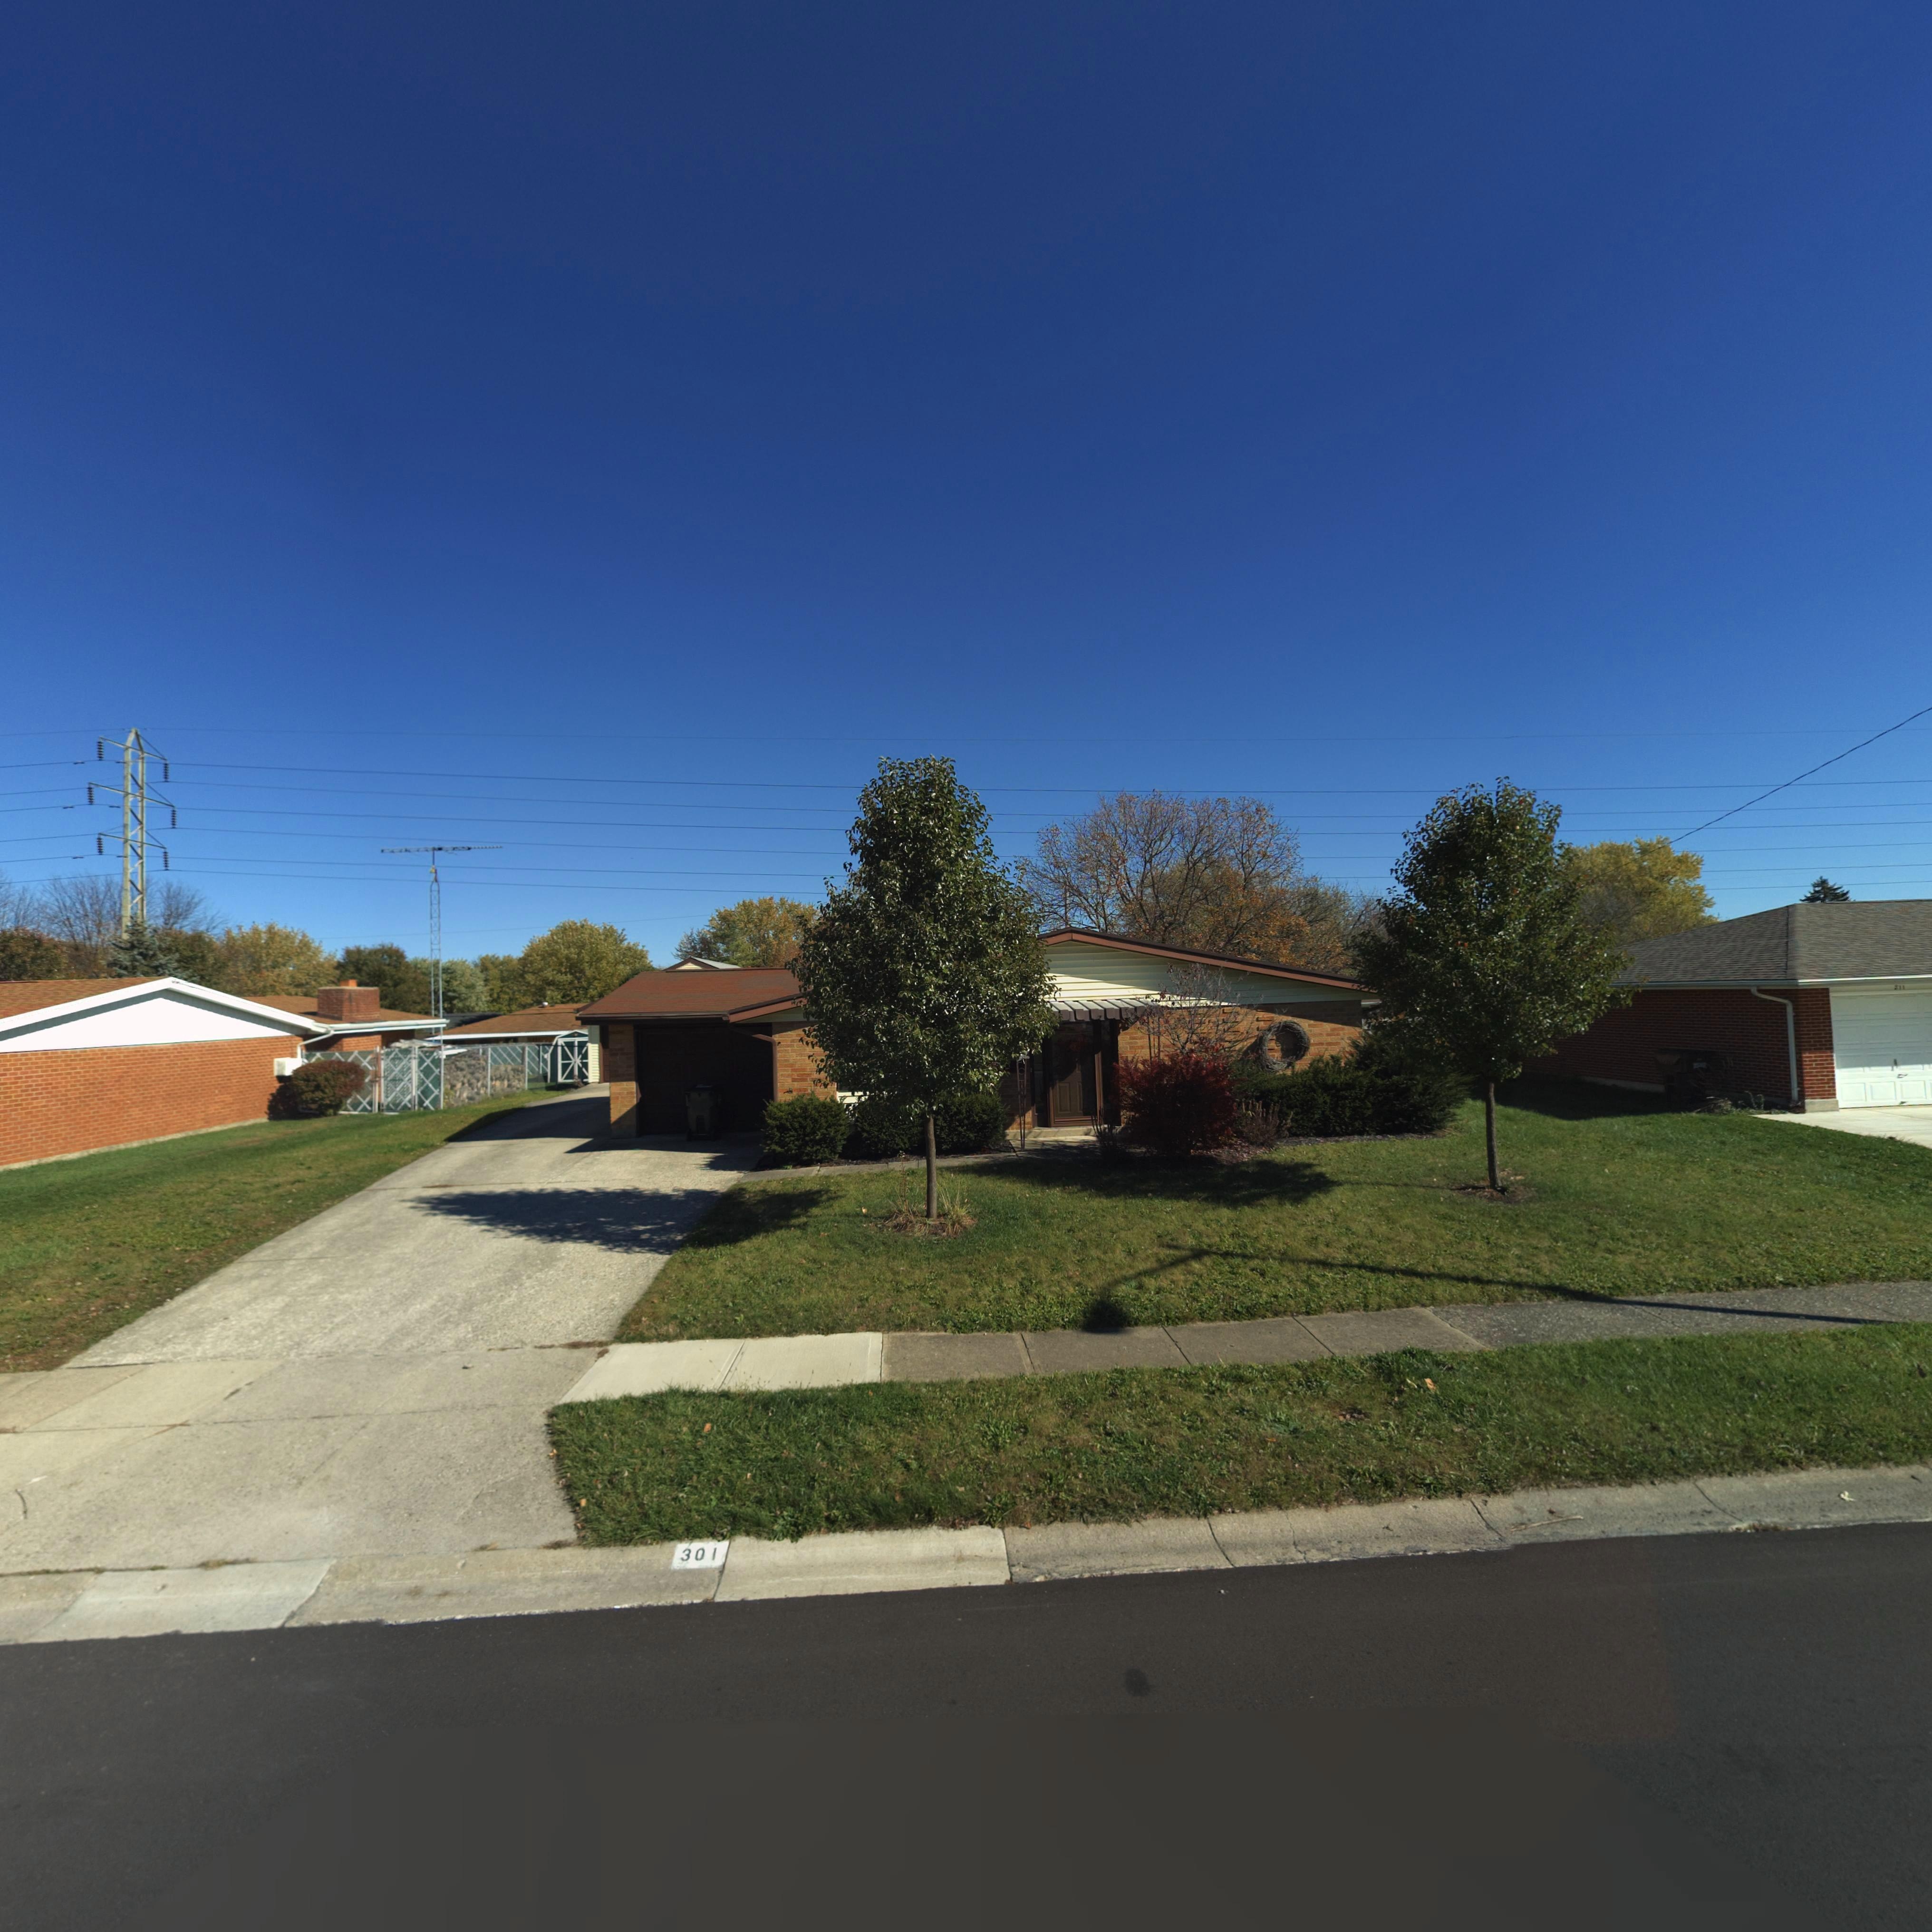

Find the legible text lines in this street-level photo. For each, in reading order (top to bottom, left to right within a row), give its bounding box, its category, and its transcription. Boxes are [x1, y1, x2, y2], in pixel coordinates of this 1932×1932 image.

[1893, 984, 1905, 991] StreetNumber: 211
[679, 1546, 718, 1562] StreetNumber: 301